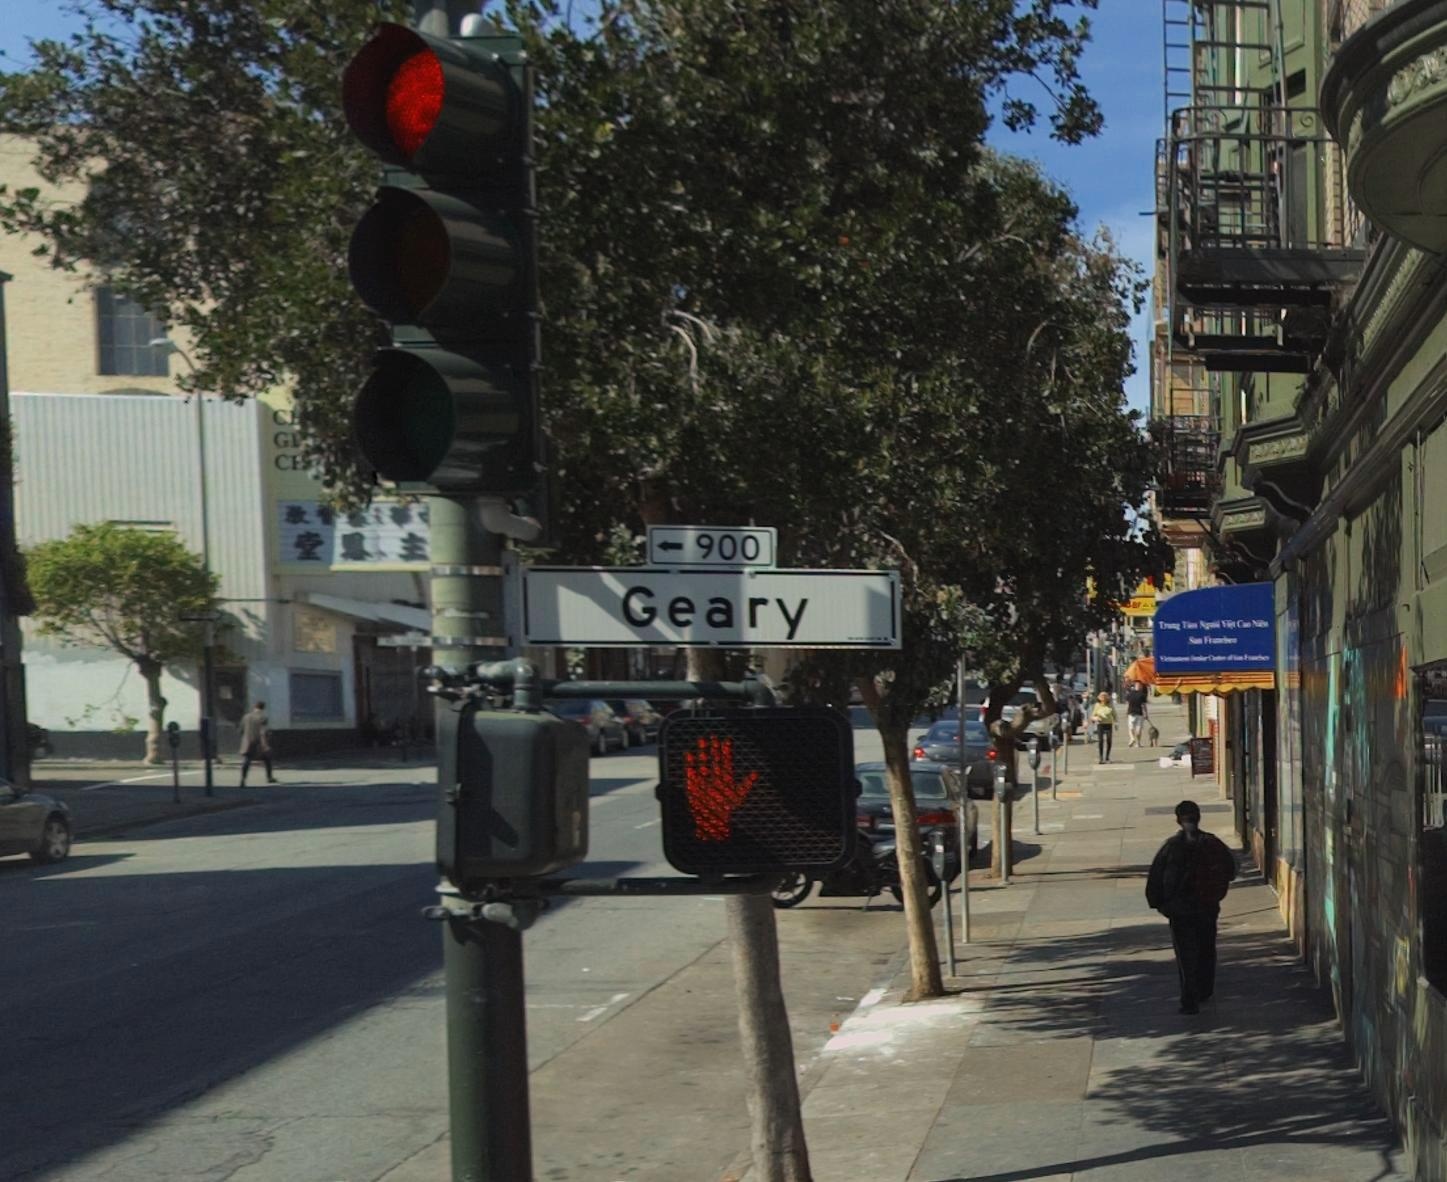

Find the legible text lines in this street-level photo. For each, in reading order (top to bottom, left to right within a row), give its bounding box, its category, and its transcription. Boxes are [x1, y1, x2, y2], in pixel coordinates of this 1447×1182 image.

[270, 406, 290, 429] None: C
[270, 429, 292, 452] None: G
[270, 451, 294, 476] None: C
[652, 530, 764, 563] StreetNumberRange: <-900
[619, 581, 814, 643] StreetName: Geary